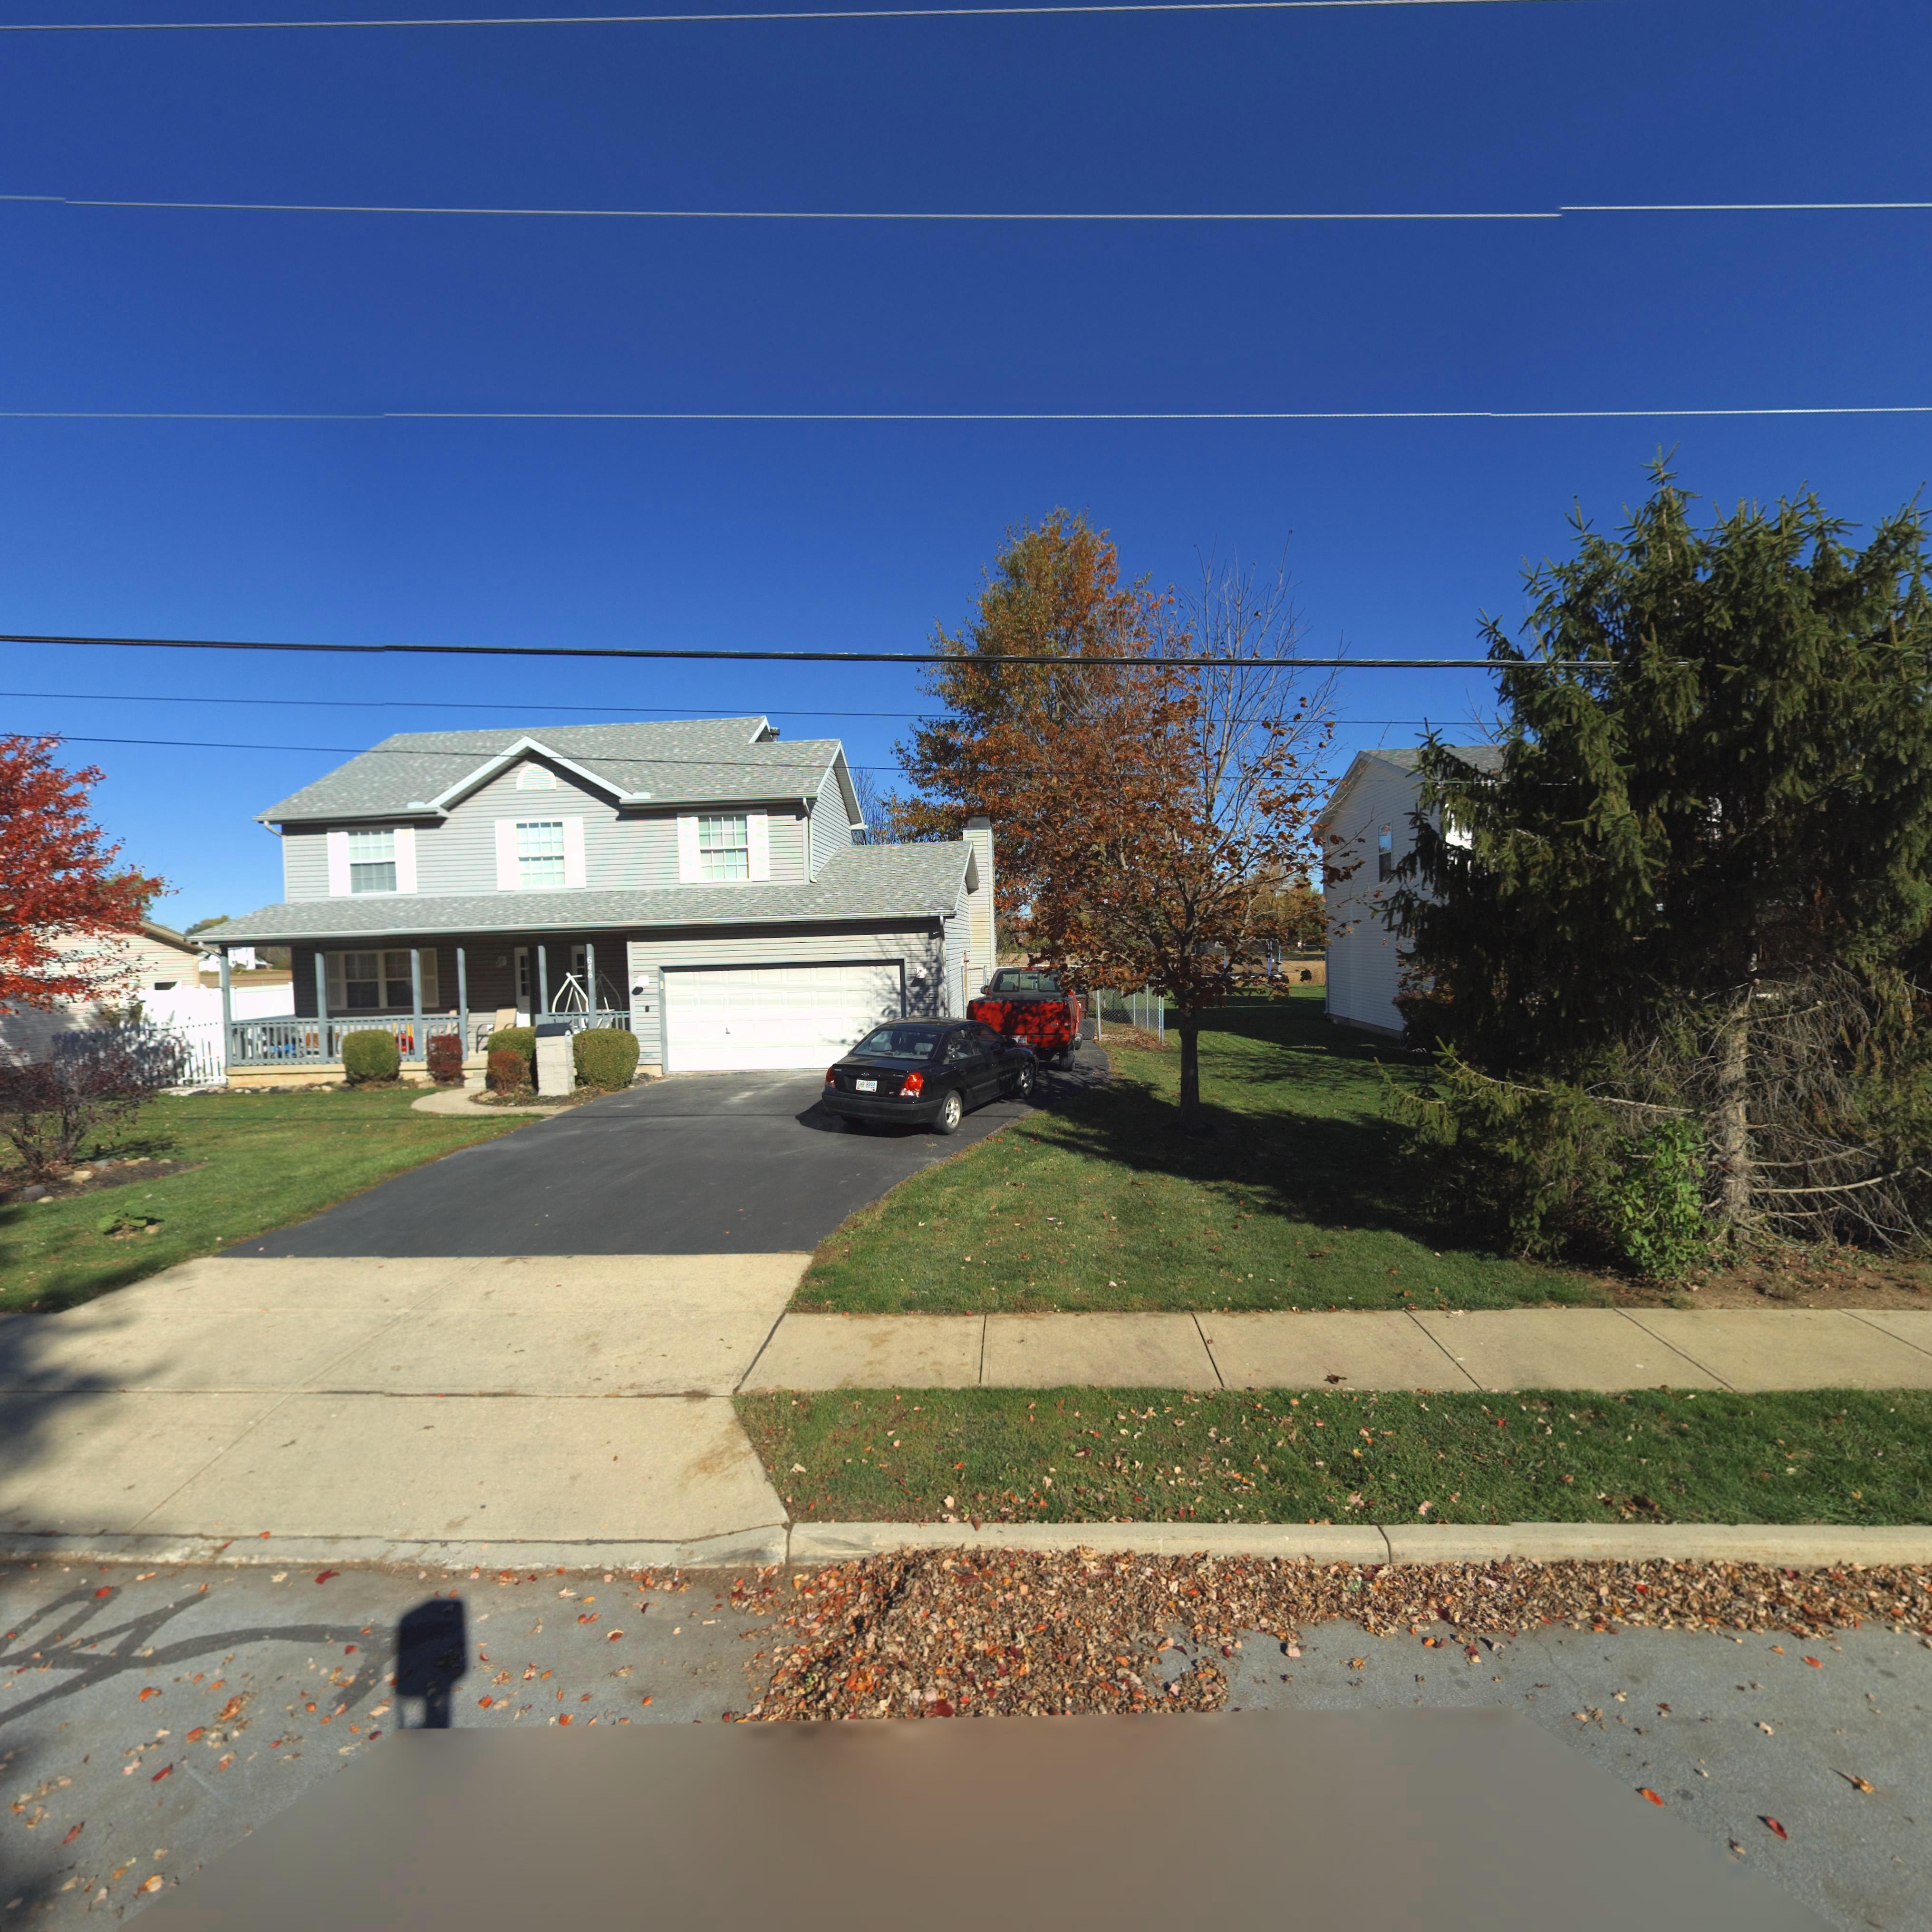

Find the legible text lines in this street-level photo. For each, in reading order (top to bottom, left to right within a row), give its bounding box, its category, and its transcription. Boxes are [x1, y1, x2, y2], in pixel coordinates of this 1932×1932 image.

[587, 956, 593, 978] StreetNumber: 648